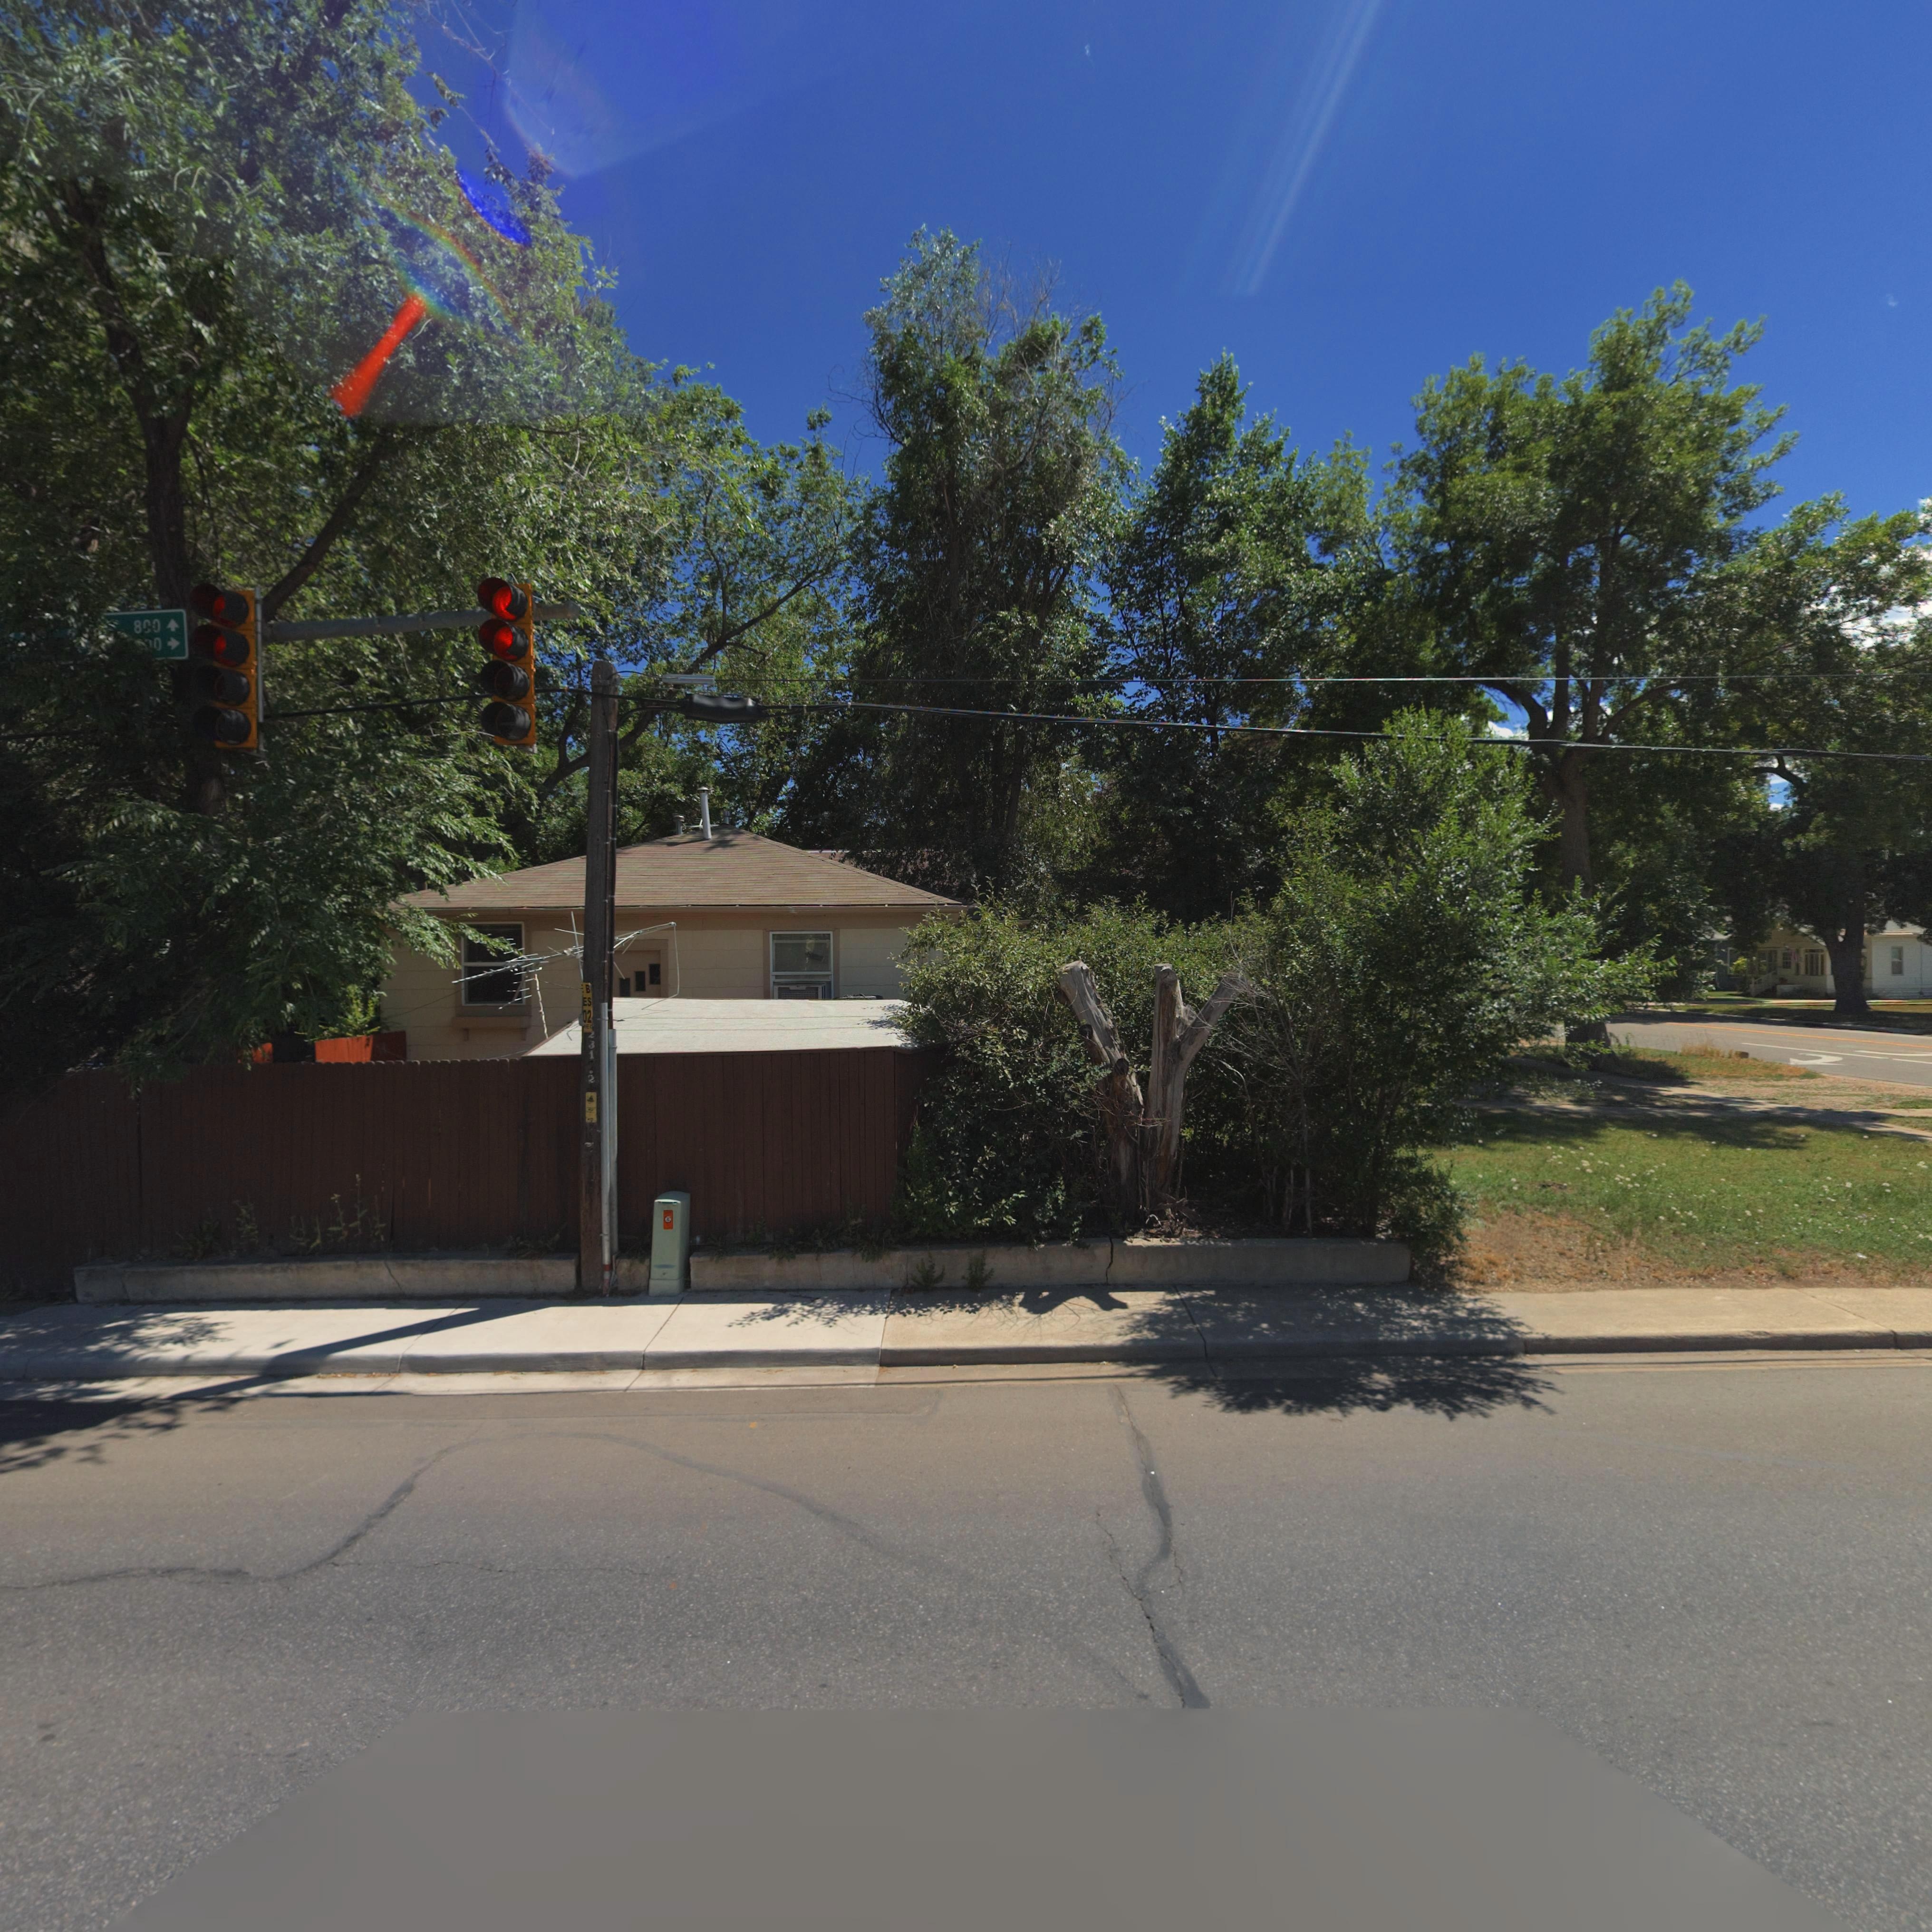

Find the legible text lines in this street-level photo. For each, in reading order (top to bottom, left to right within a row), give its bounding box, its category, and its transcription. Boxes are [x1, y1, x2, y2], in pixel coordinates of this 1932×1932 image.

[133, 618, 161, 634] StreetNumberRange: 800
[144, 637, 181, 652] StreetNumberRange: *0->